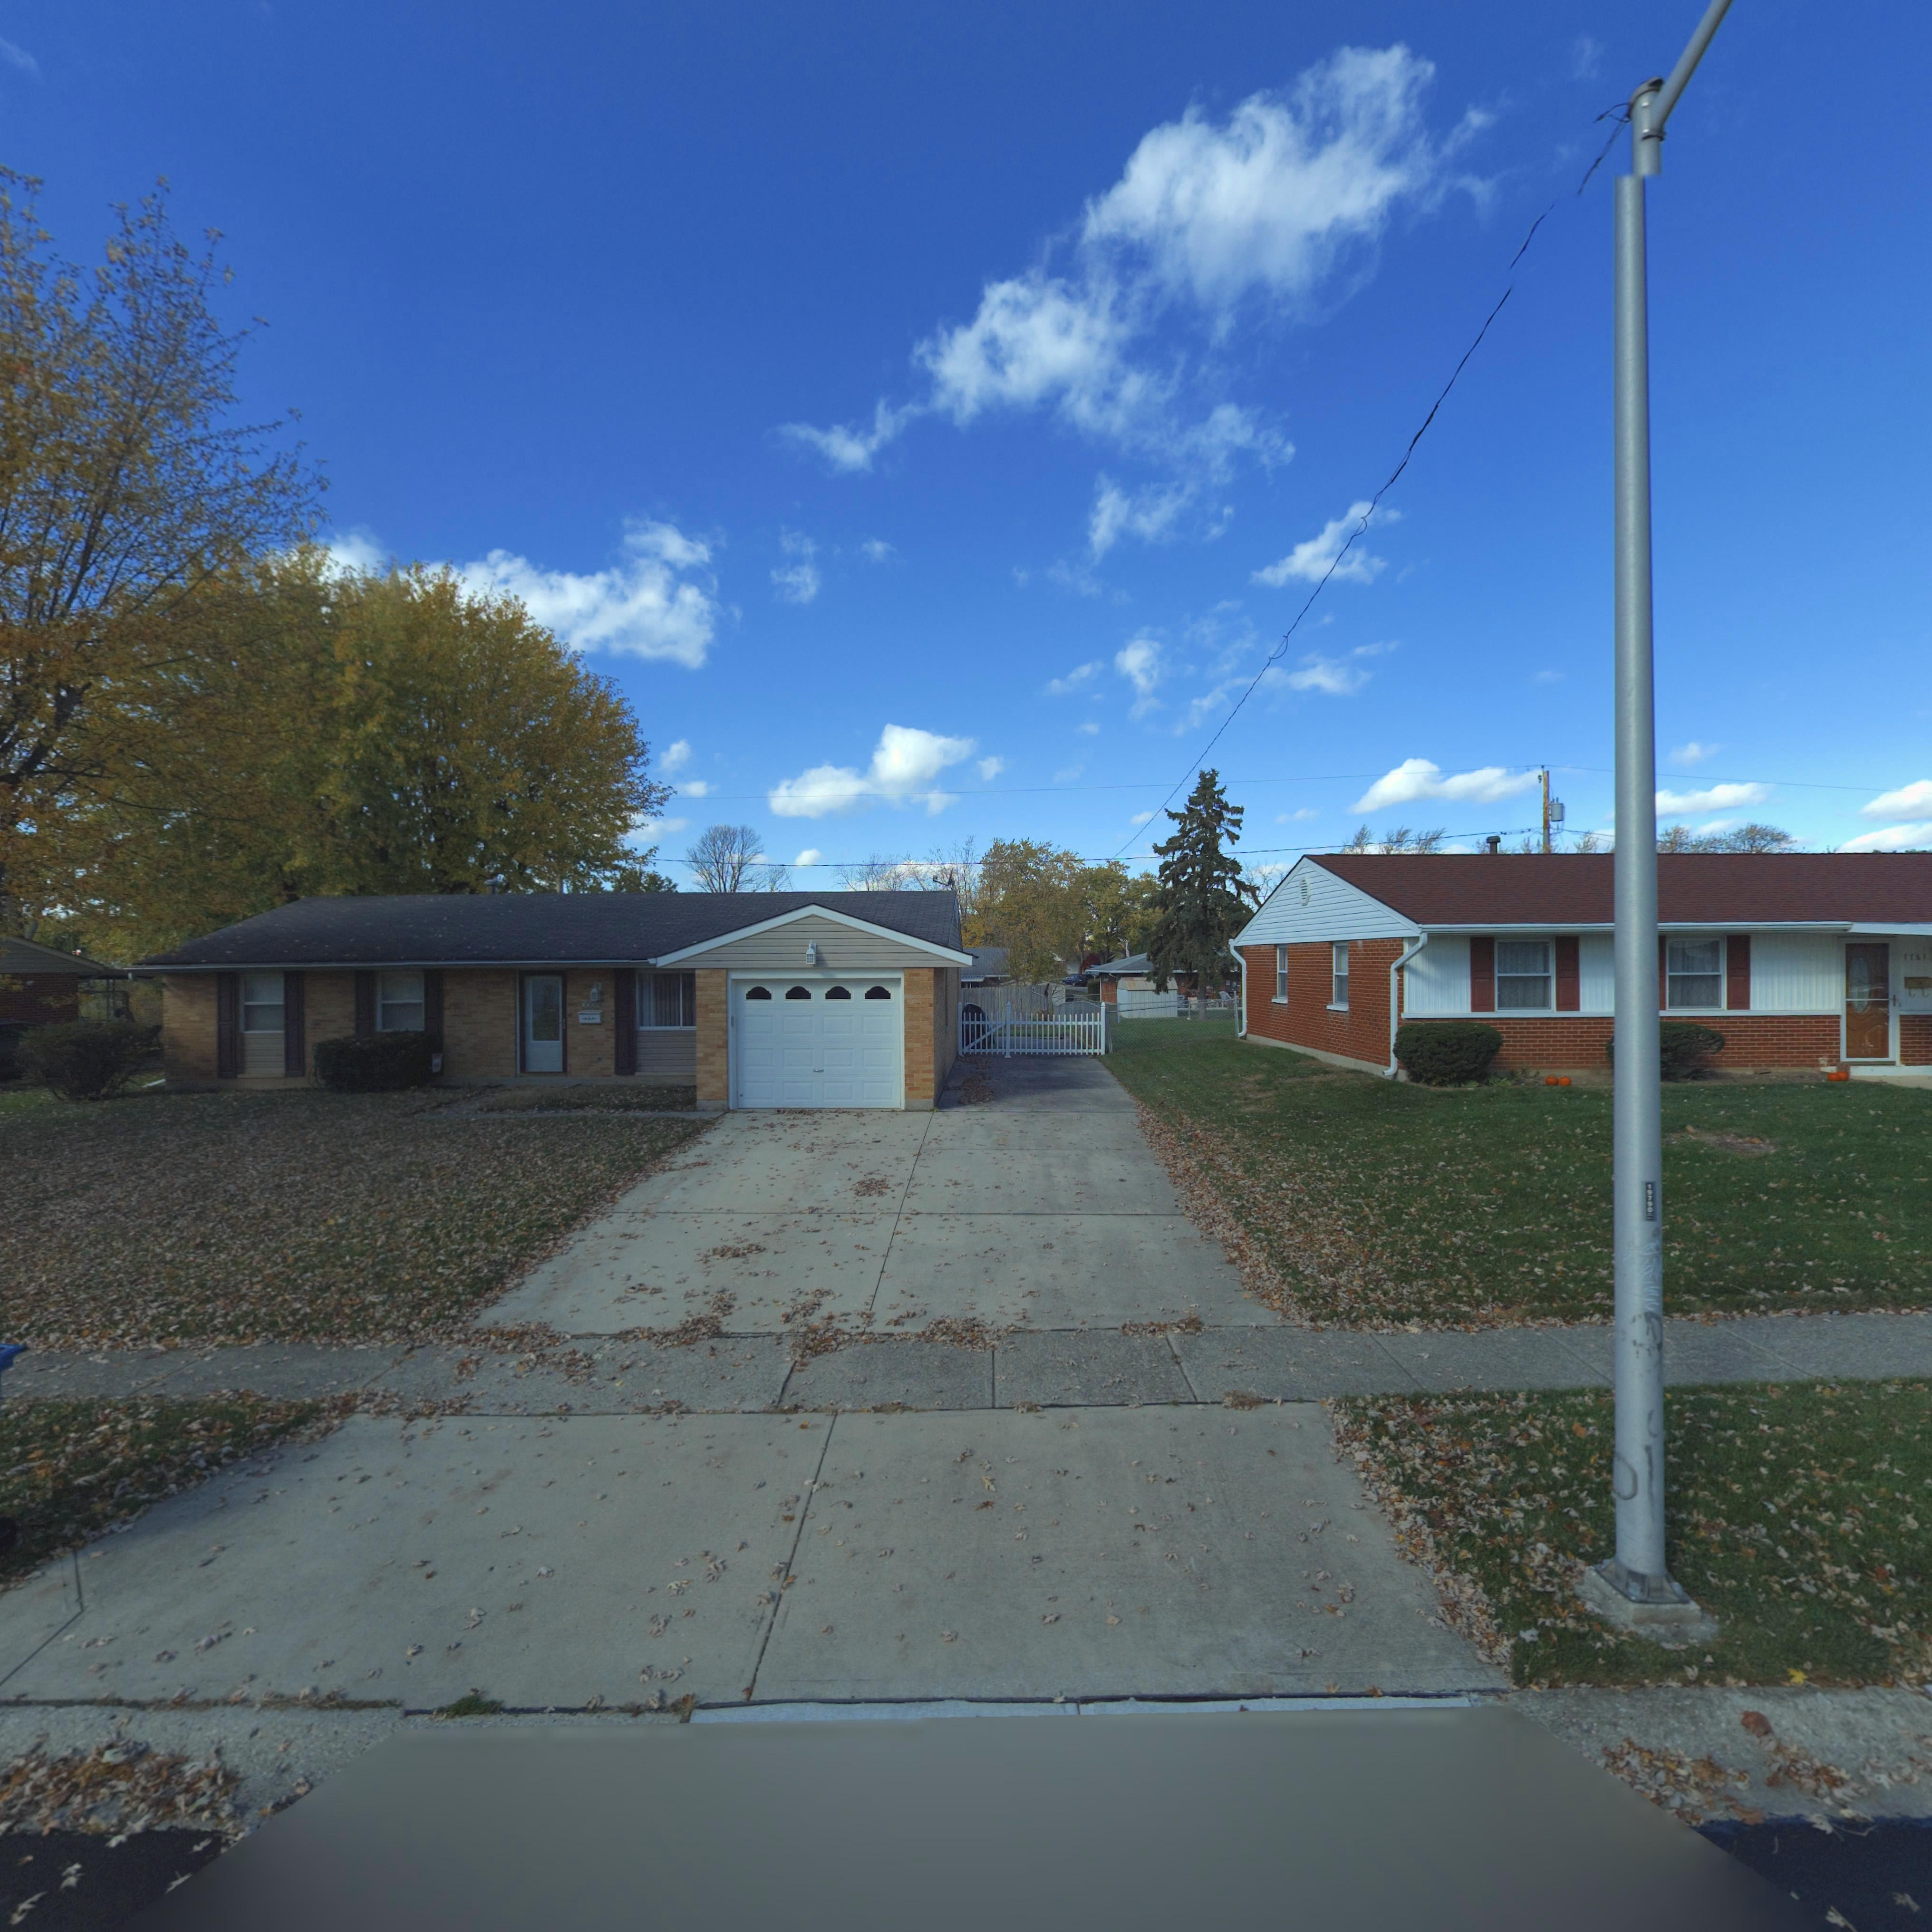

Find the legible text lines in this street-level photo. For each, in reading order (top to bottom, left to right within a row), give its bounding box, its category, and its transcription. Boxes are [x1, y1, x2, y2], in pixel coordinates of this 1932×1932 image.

[1902, 953, 1927, 961] StreetNumber: 7761